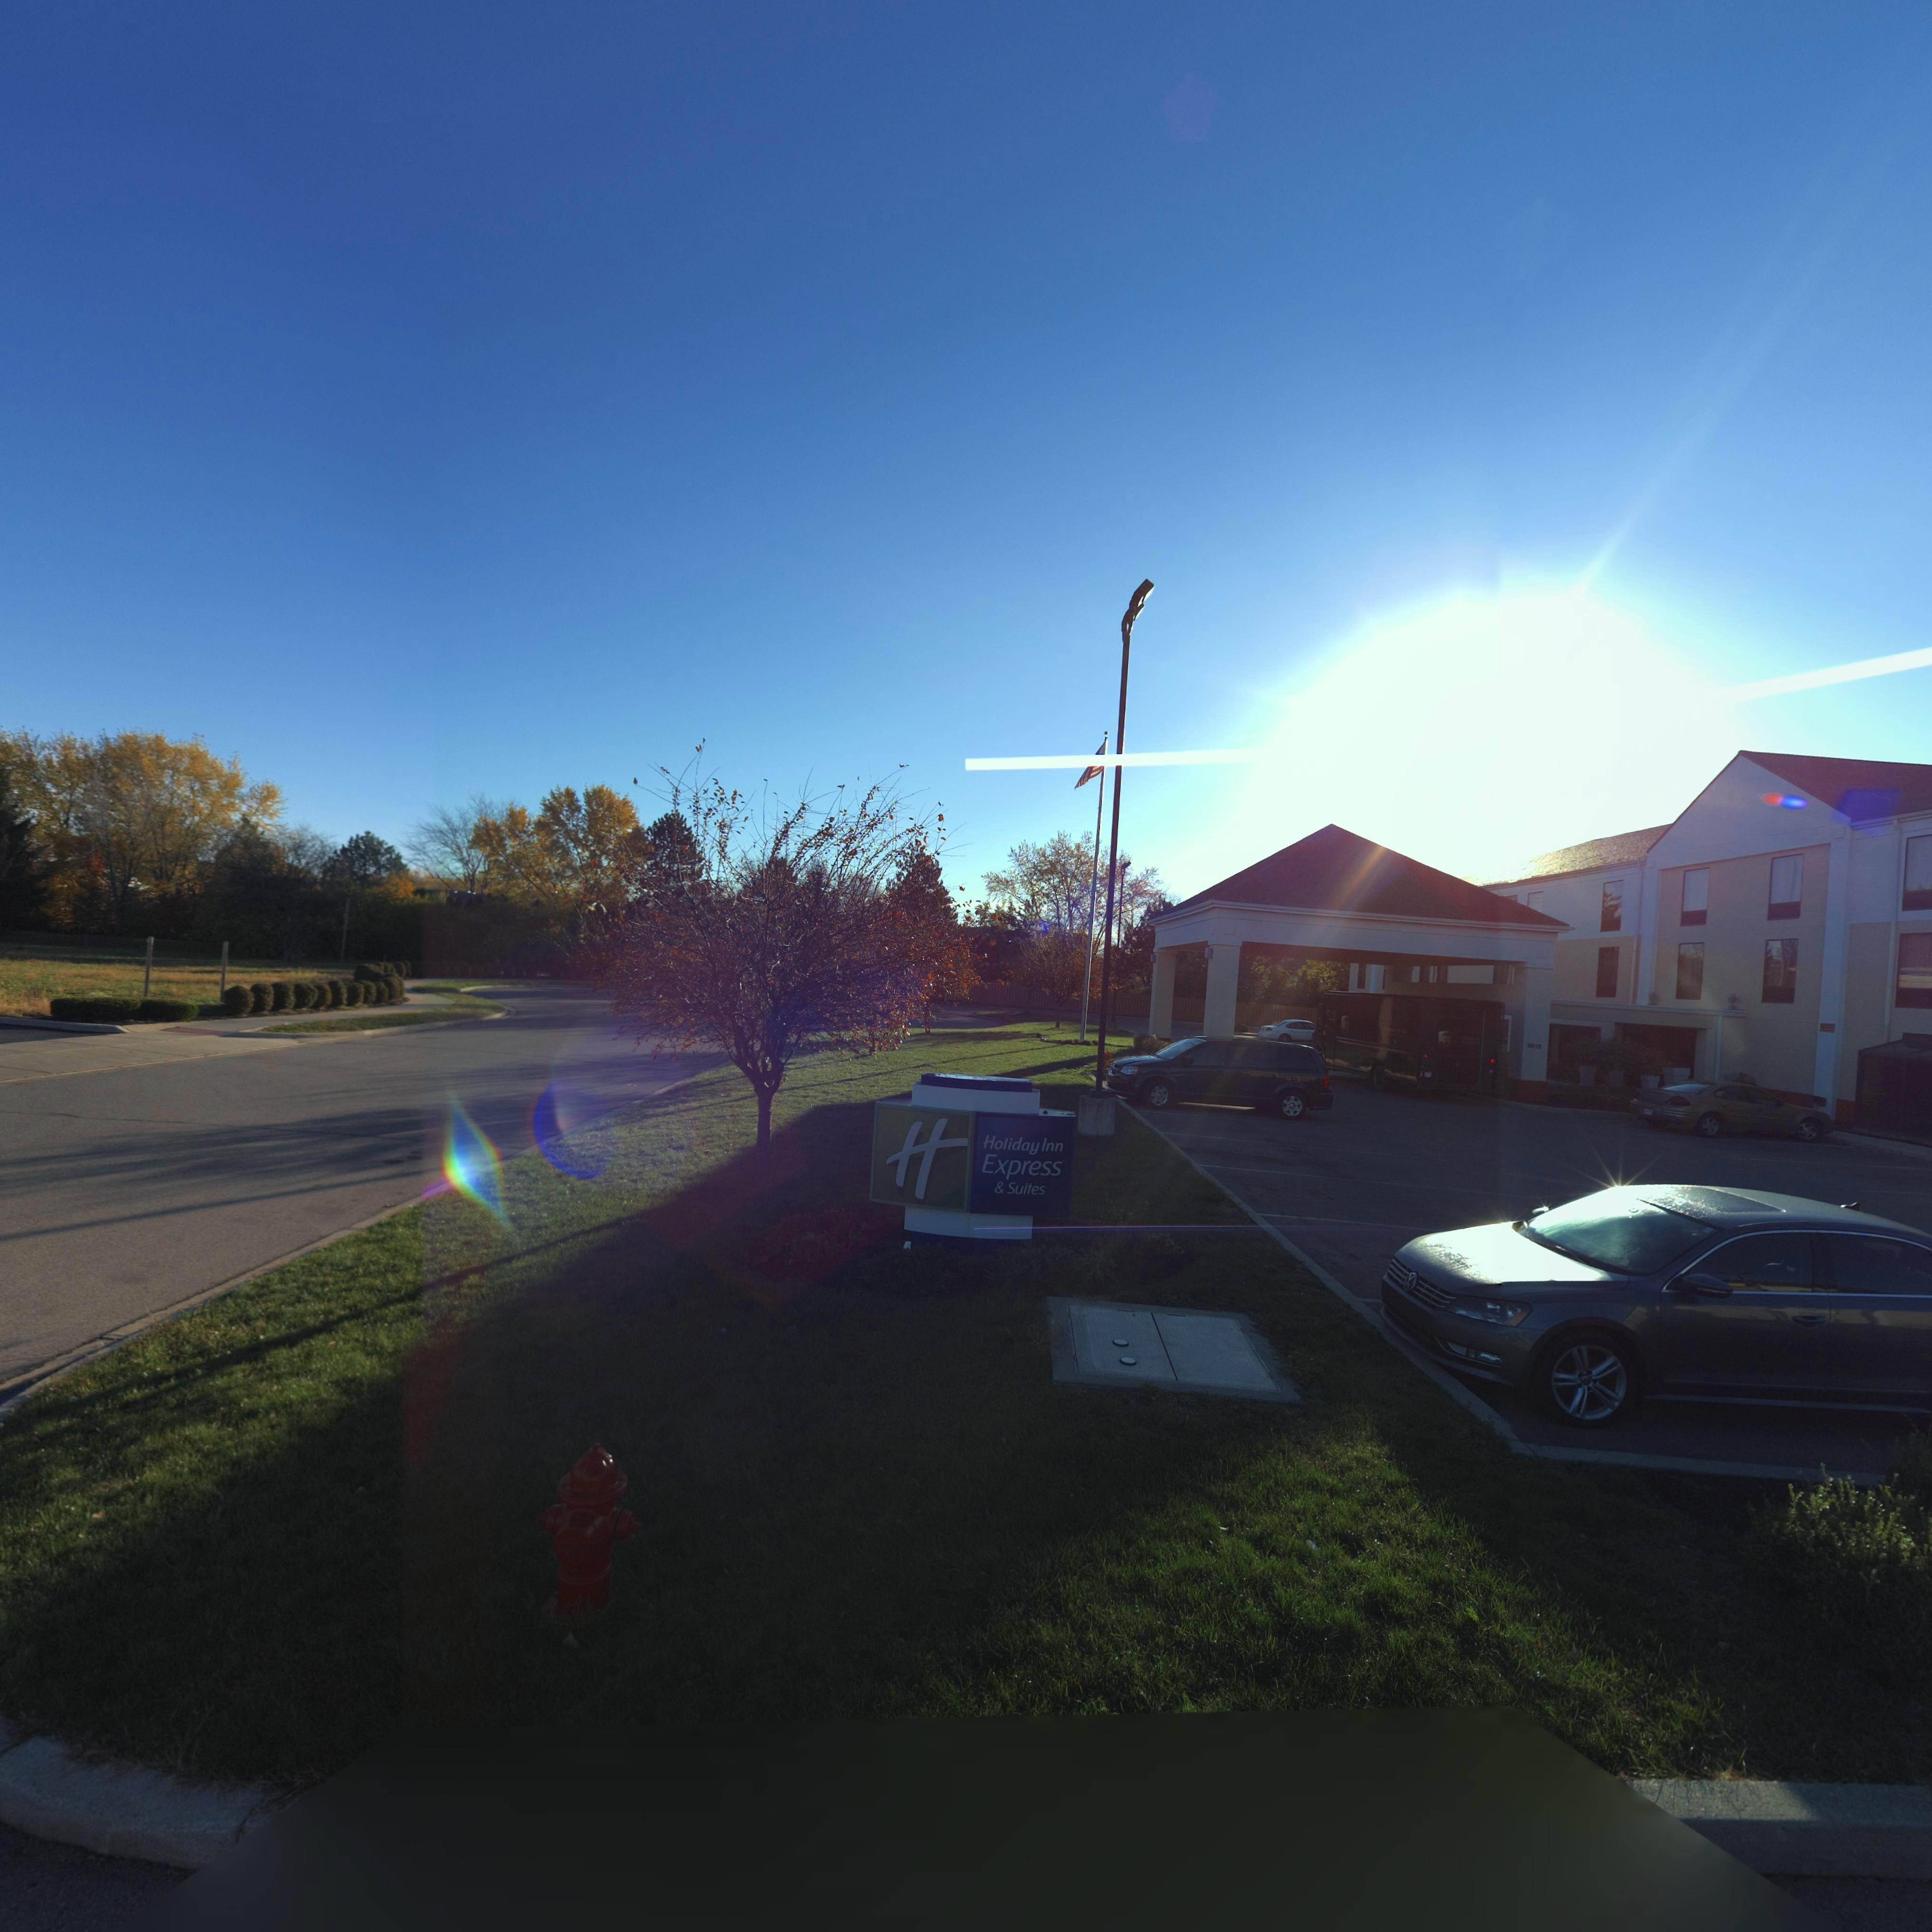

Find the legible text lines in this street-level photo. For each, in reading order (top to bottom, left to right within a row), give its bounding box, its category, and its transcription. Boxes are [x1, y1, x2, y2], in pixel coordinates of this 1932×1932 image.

[1526, 1042, 1543, 1050] StreetNumber: **12
[981, 1134, 1065, 1156] BusinessName: Holiday Inn
[980, 1152, 1064, 1181] BusinessName: Express
[993, 1180, 1048, 1196] BusinessName: & Suites